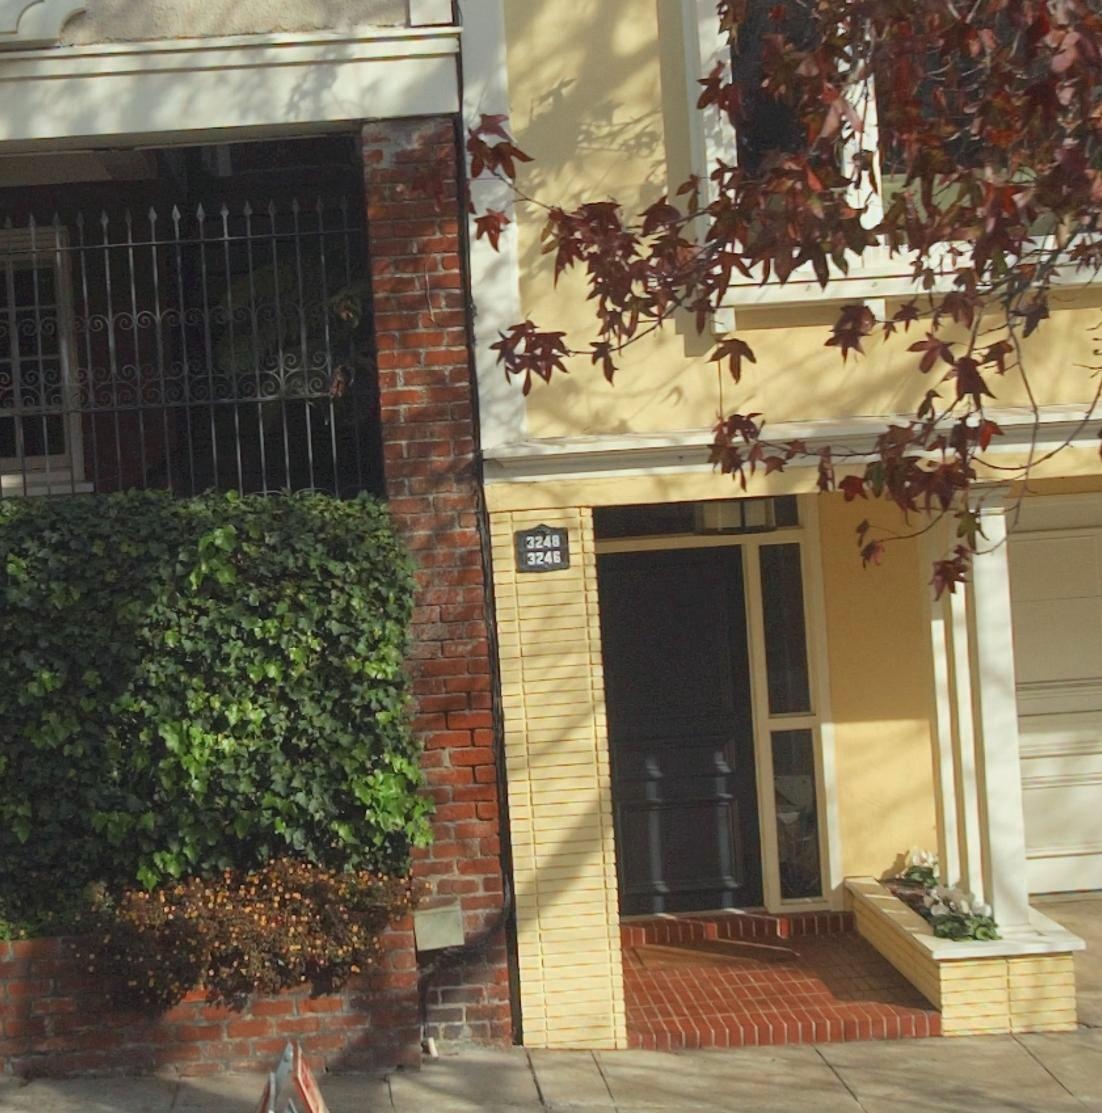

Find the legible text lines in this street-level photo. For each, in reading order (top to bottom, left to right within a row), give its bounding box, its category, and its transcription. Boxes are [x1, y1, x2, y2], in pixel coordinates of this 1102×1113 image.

[524, 533, 562, 550] StreetNumber: 3248
[523, 547, 566, 569] StreetNumber: 3246